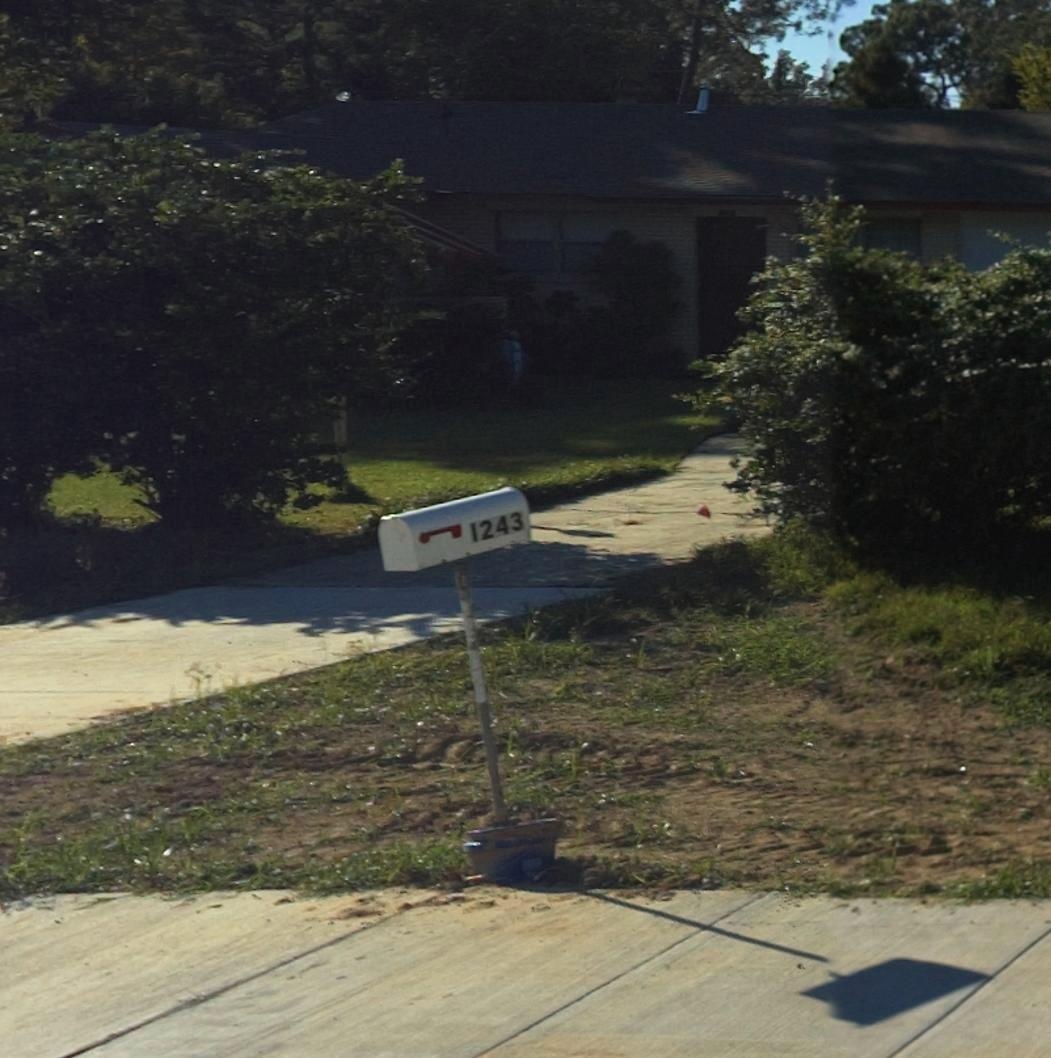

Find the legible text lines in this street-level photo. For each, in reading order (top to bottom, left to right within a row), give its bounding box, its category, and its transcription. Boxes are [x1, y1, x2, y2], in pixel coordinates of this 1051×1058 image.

[467, 510, 525, 545] StreetNumber: 1243